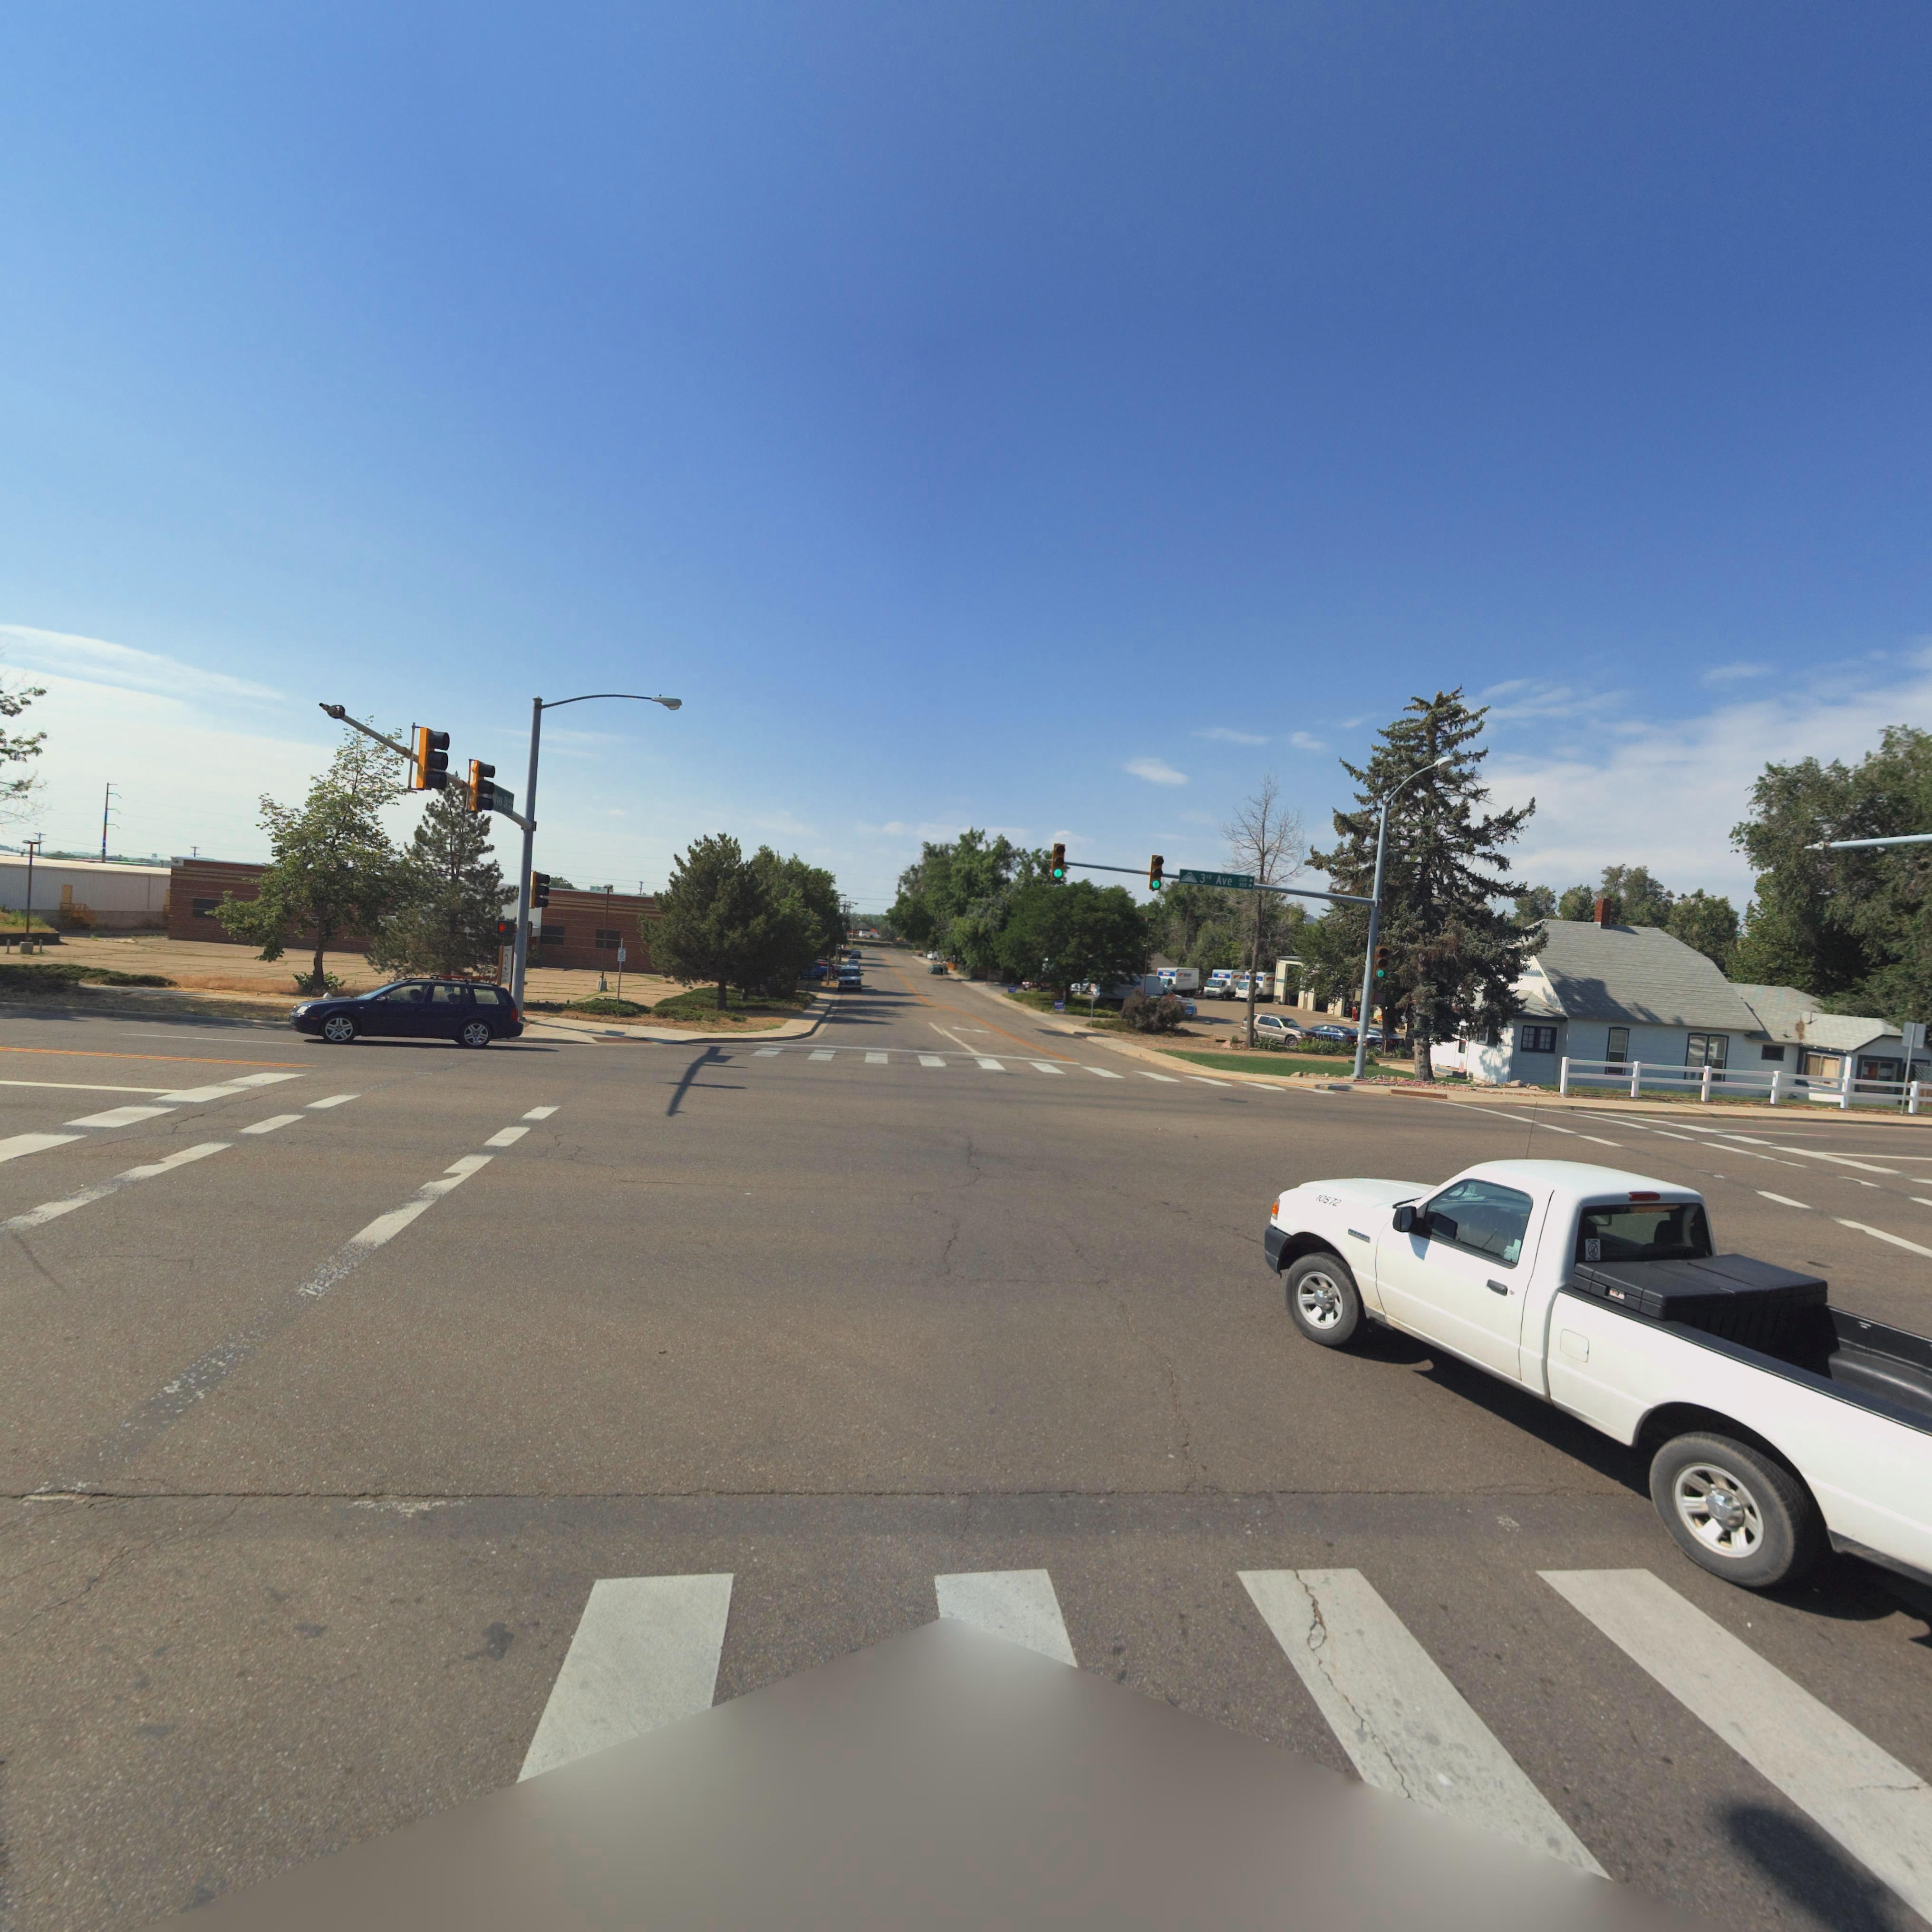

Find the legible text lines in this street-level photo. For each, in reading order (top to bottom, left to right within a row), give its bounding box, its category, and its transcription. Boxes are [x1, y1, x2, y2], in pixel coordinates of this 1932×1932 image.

[493, 793, 508, 809] StreetName: **e* S*
[1199, 873, 1233, 886] StreetName: 3rd Ave
[1238, 877, 1247, 882] StreetNumberRange: 200
[1238, 881, 1252, 888] StreetNumberRange: 300->